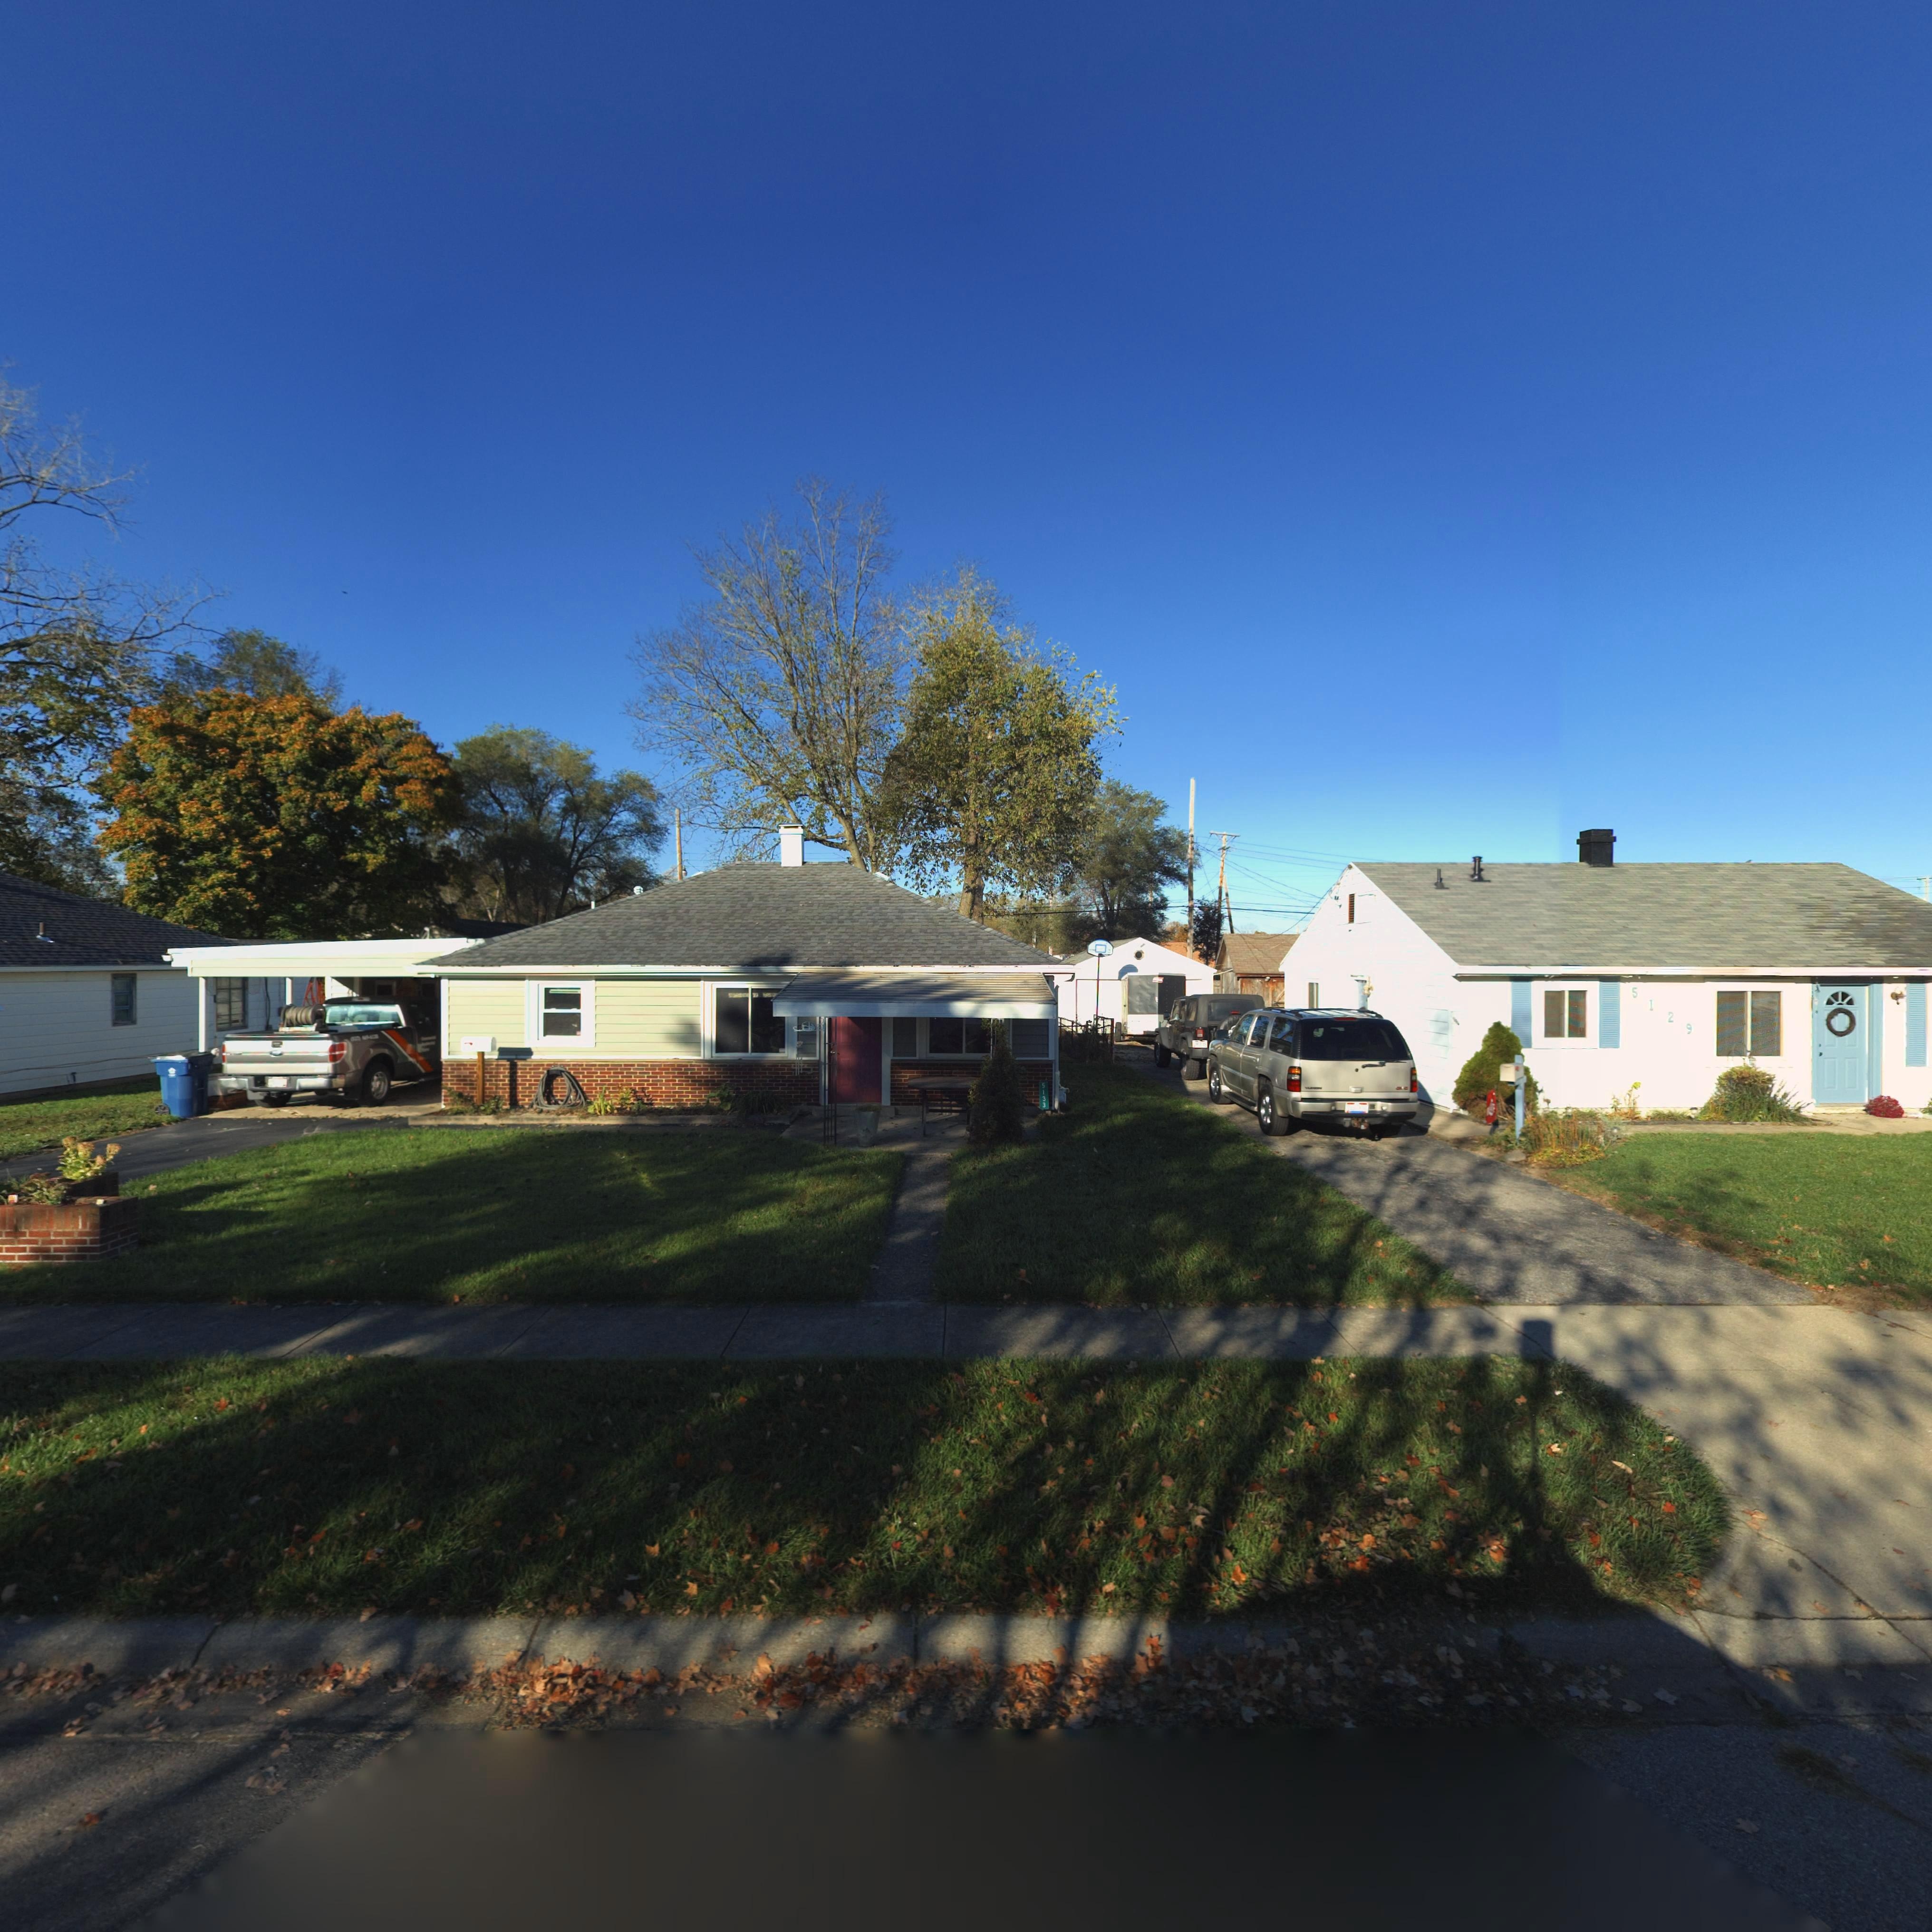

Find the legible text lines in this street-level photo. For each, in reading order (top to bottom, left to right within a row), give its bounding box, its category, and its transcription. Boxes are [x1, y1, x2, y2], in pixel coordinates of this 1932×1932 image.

[1632, 986, 1692, 1035] StreetNumber: 5129
[1041, 1082, 1046, 1108] StreetNumber: 5133